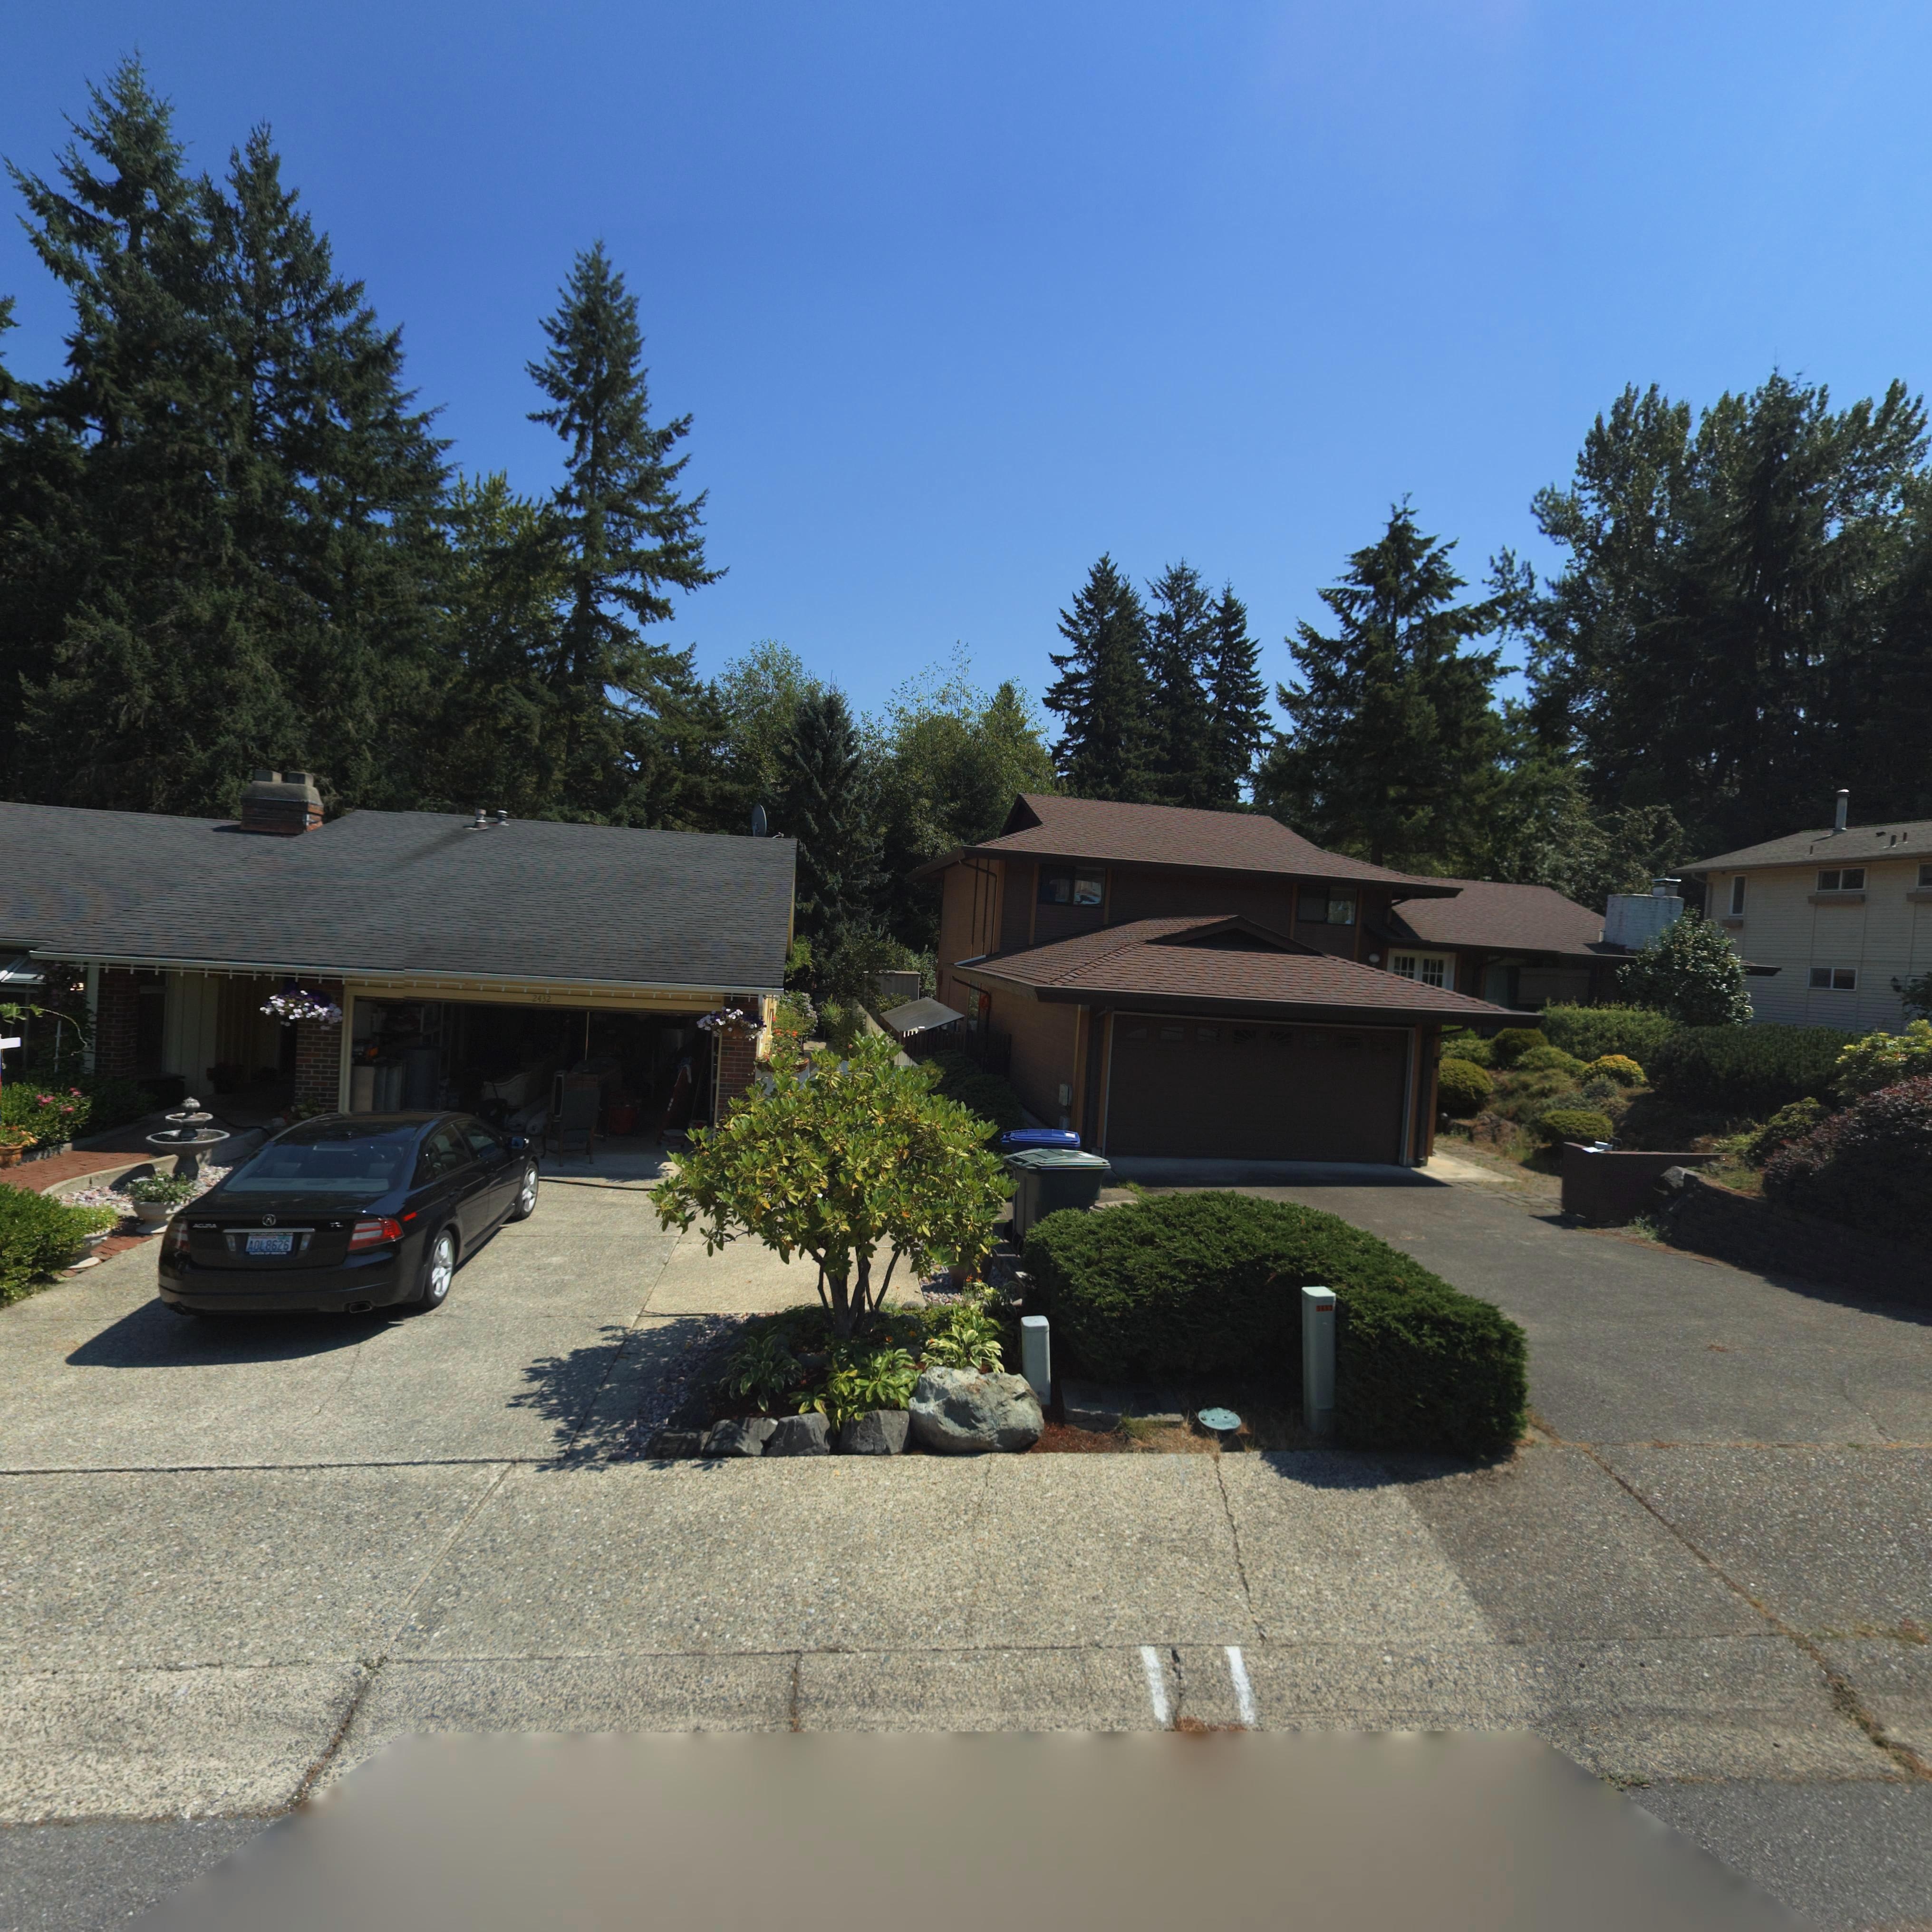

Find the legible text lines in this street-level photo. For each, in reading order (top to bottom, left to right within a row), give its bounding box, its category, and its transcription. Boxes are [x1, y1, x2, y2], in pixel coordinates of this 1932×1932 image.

[531, 993, 552, 1003] StreetNumber: 2432